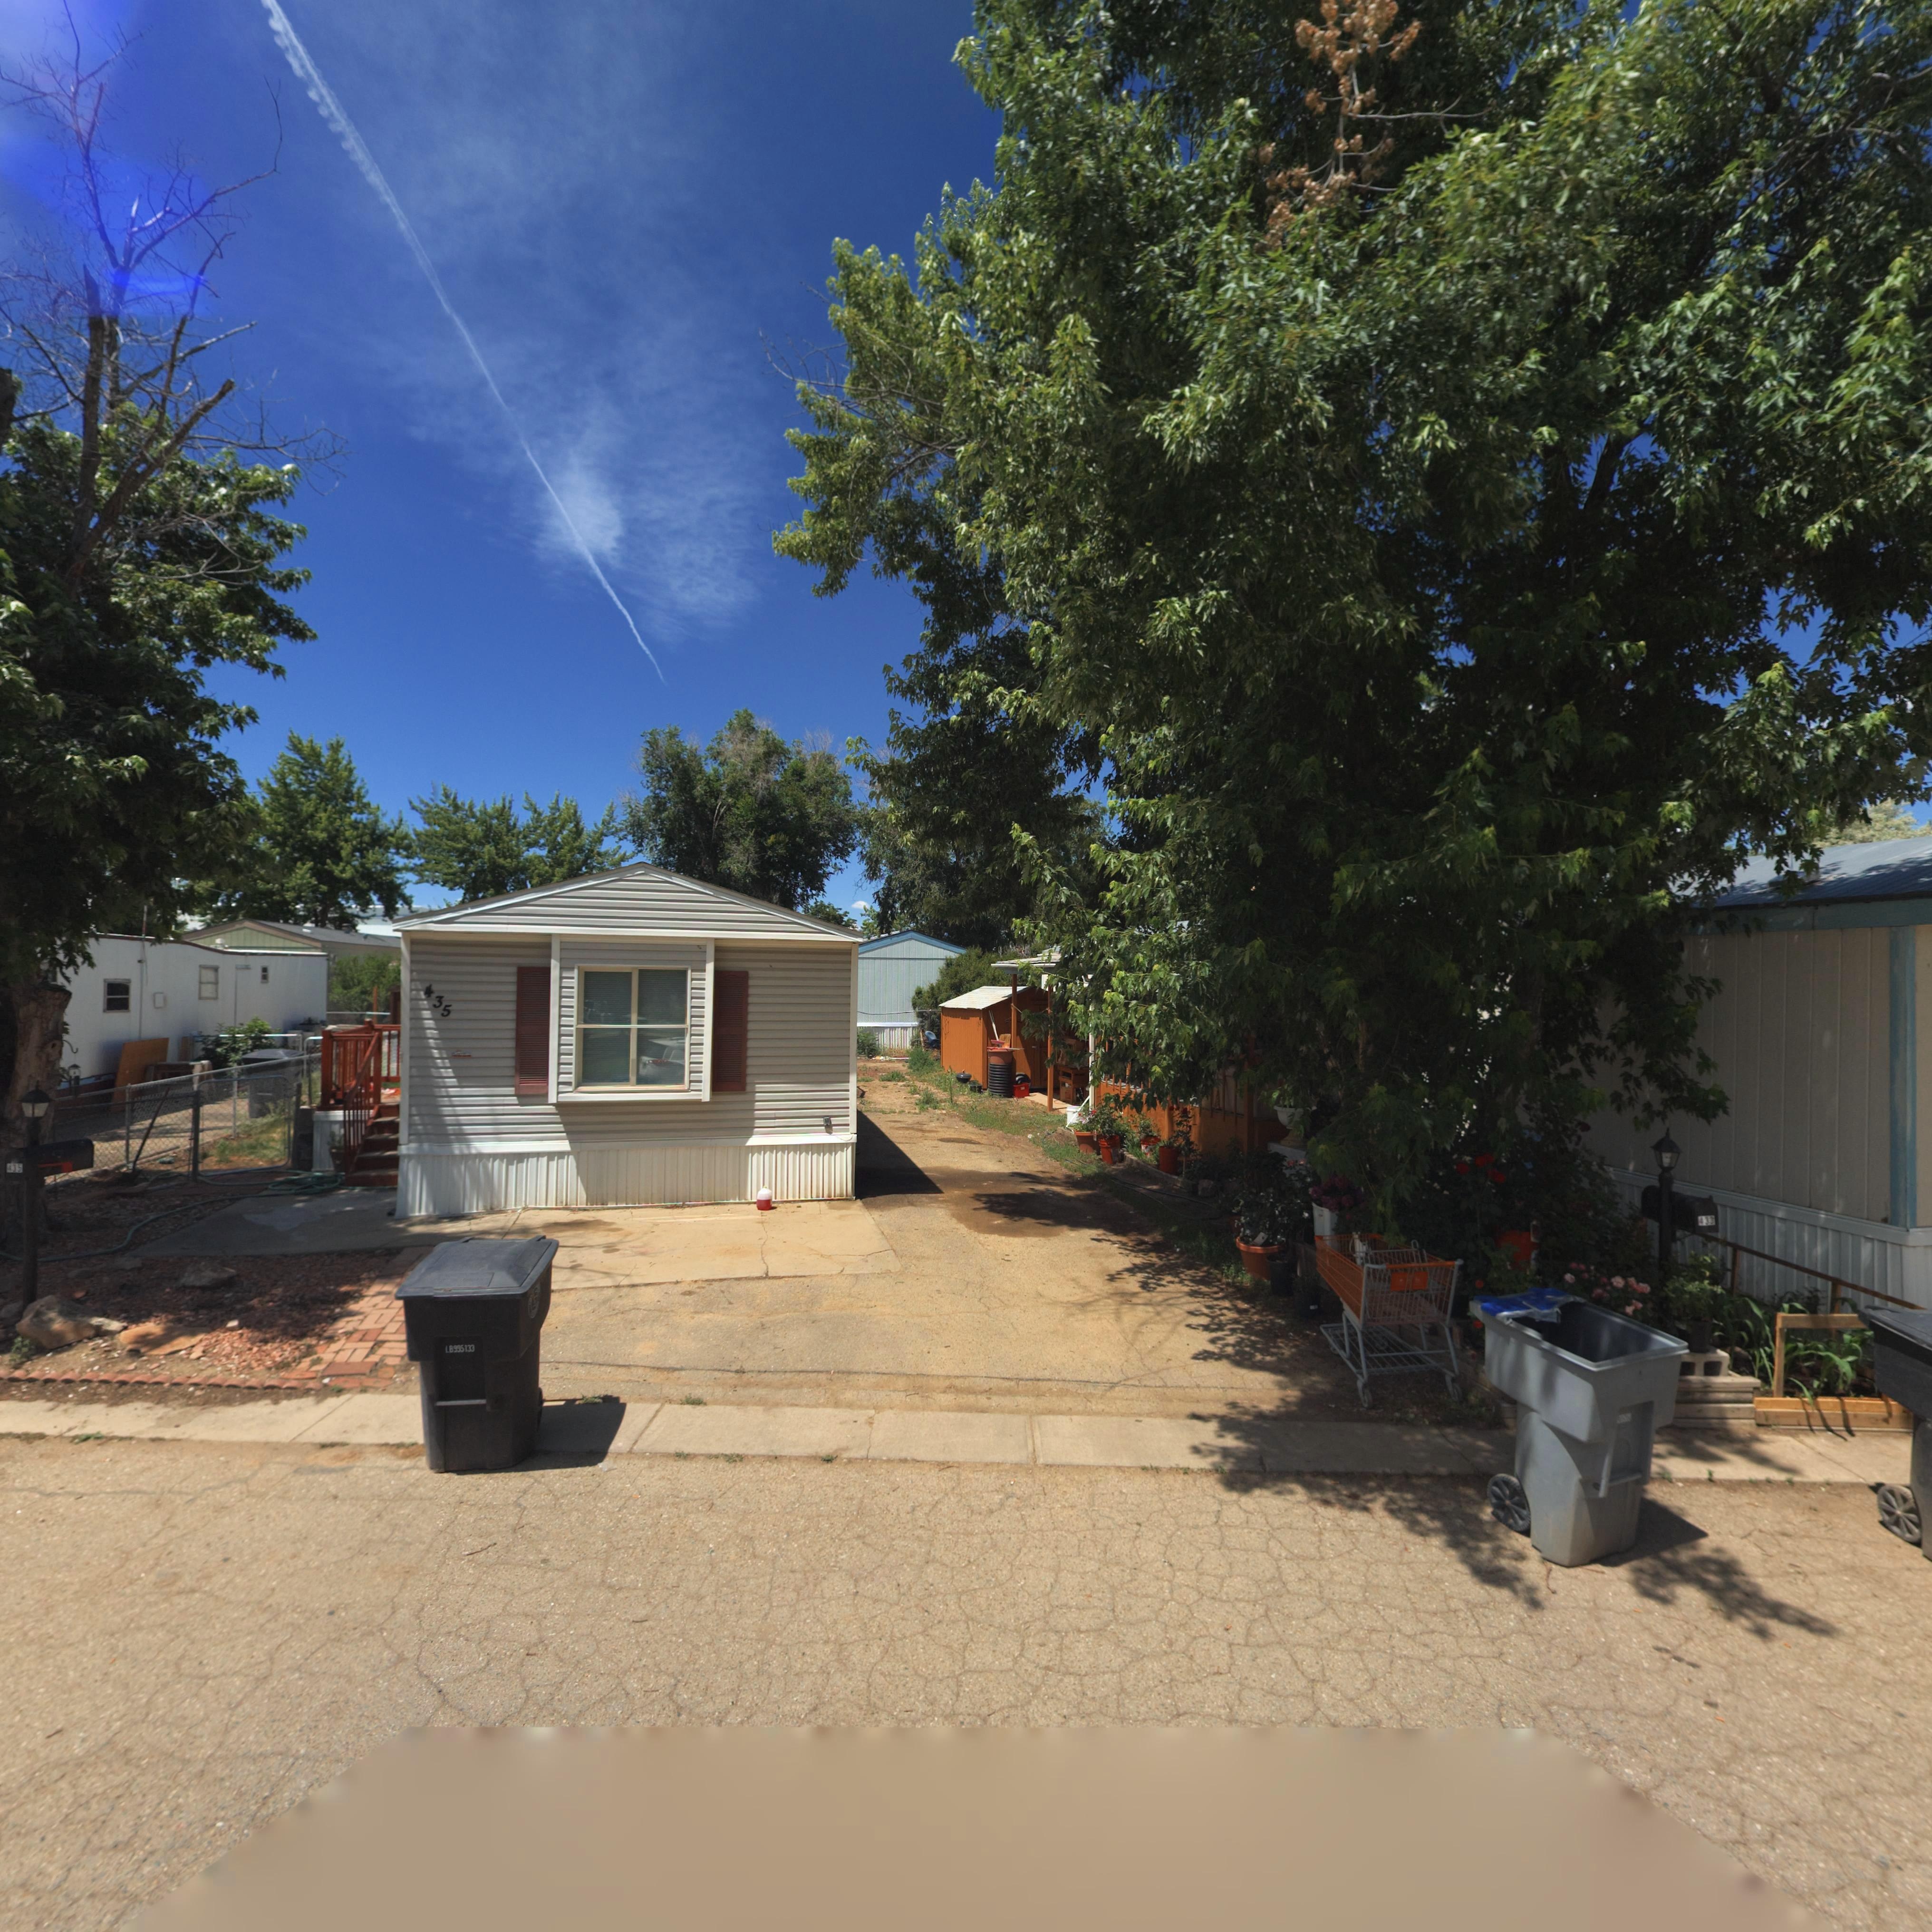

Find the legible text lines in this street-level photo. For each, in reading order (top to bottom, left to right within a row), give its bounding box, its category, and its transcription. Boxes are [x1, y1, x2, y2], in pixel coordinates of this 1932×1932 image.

[423, 983, 453, 1017] StreetNumber: 435
[1699, 1216, 1714, 1225] StreetNumber: 433